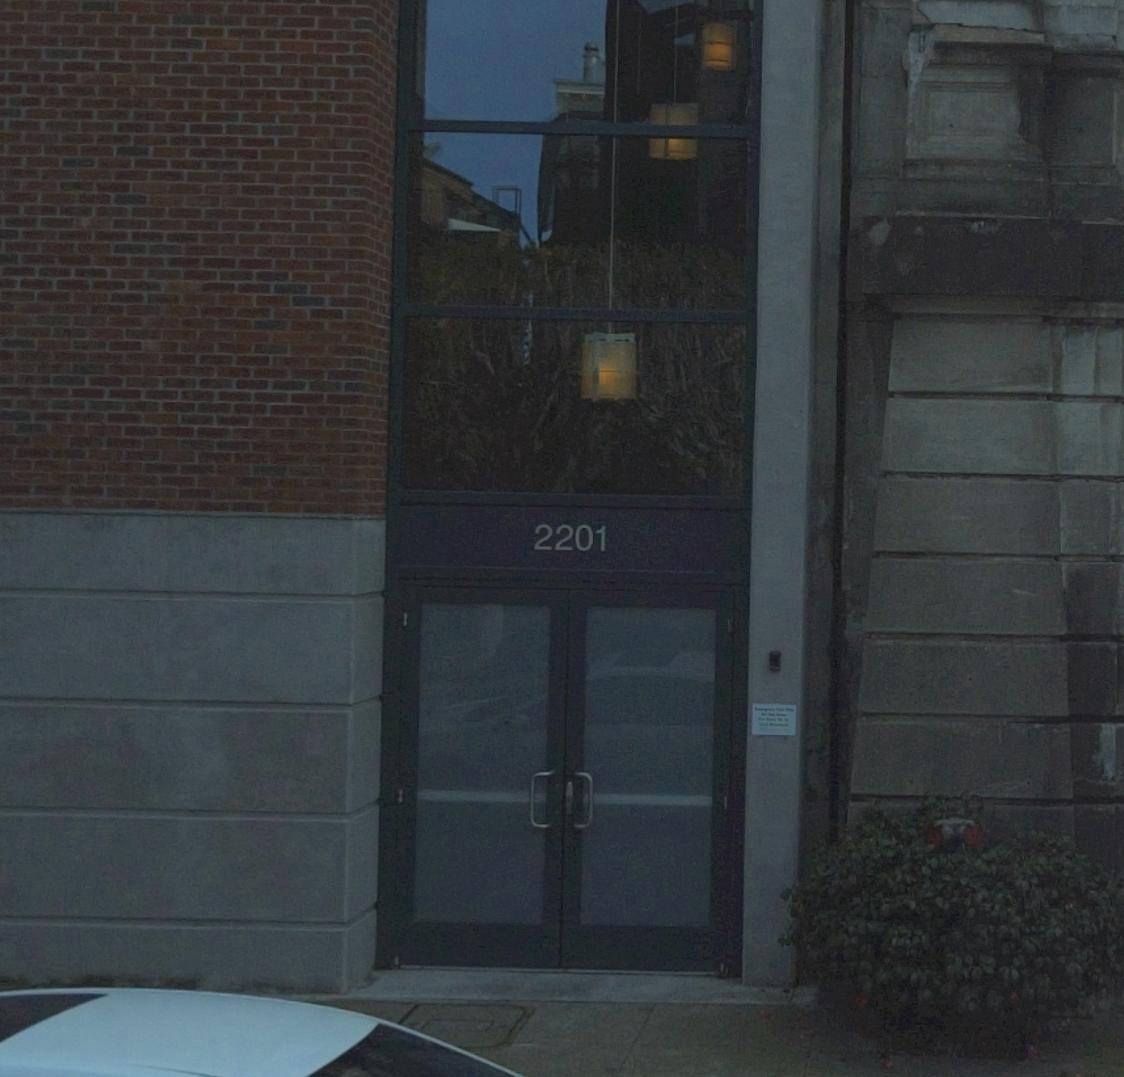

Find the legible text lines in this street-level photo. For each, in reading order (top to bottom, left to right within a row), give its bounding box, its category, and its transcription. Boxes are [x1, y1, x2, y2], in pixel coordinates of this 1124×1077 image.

[531, 522, 609, 554] StreetNumber: 2201